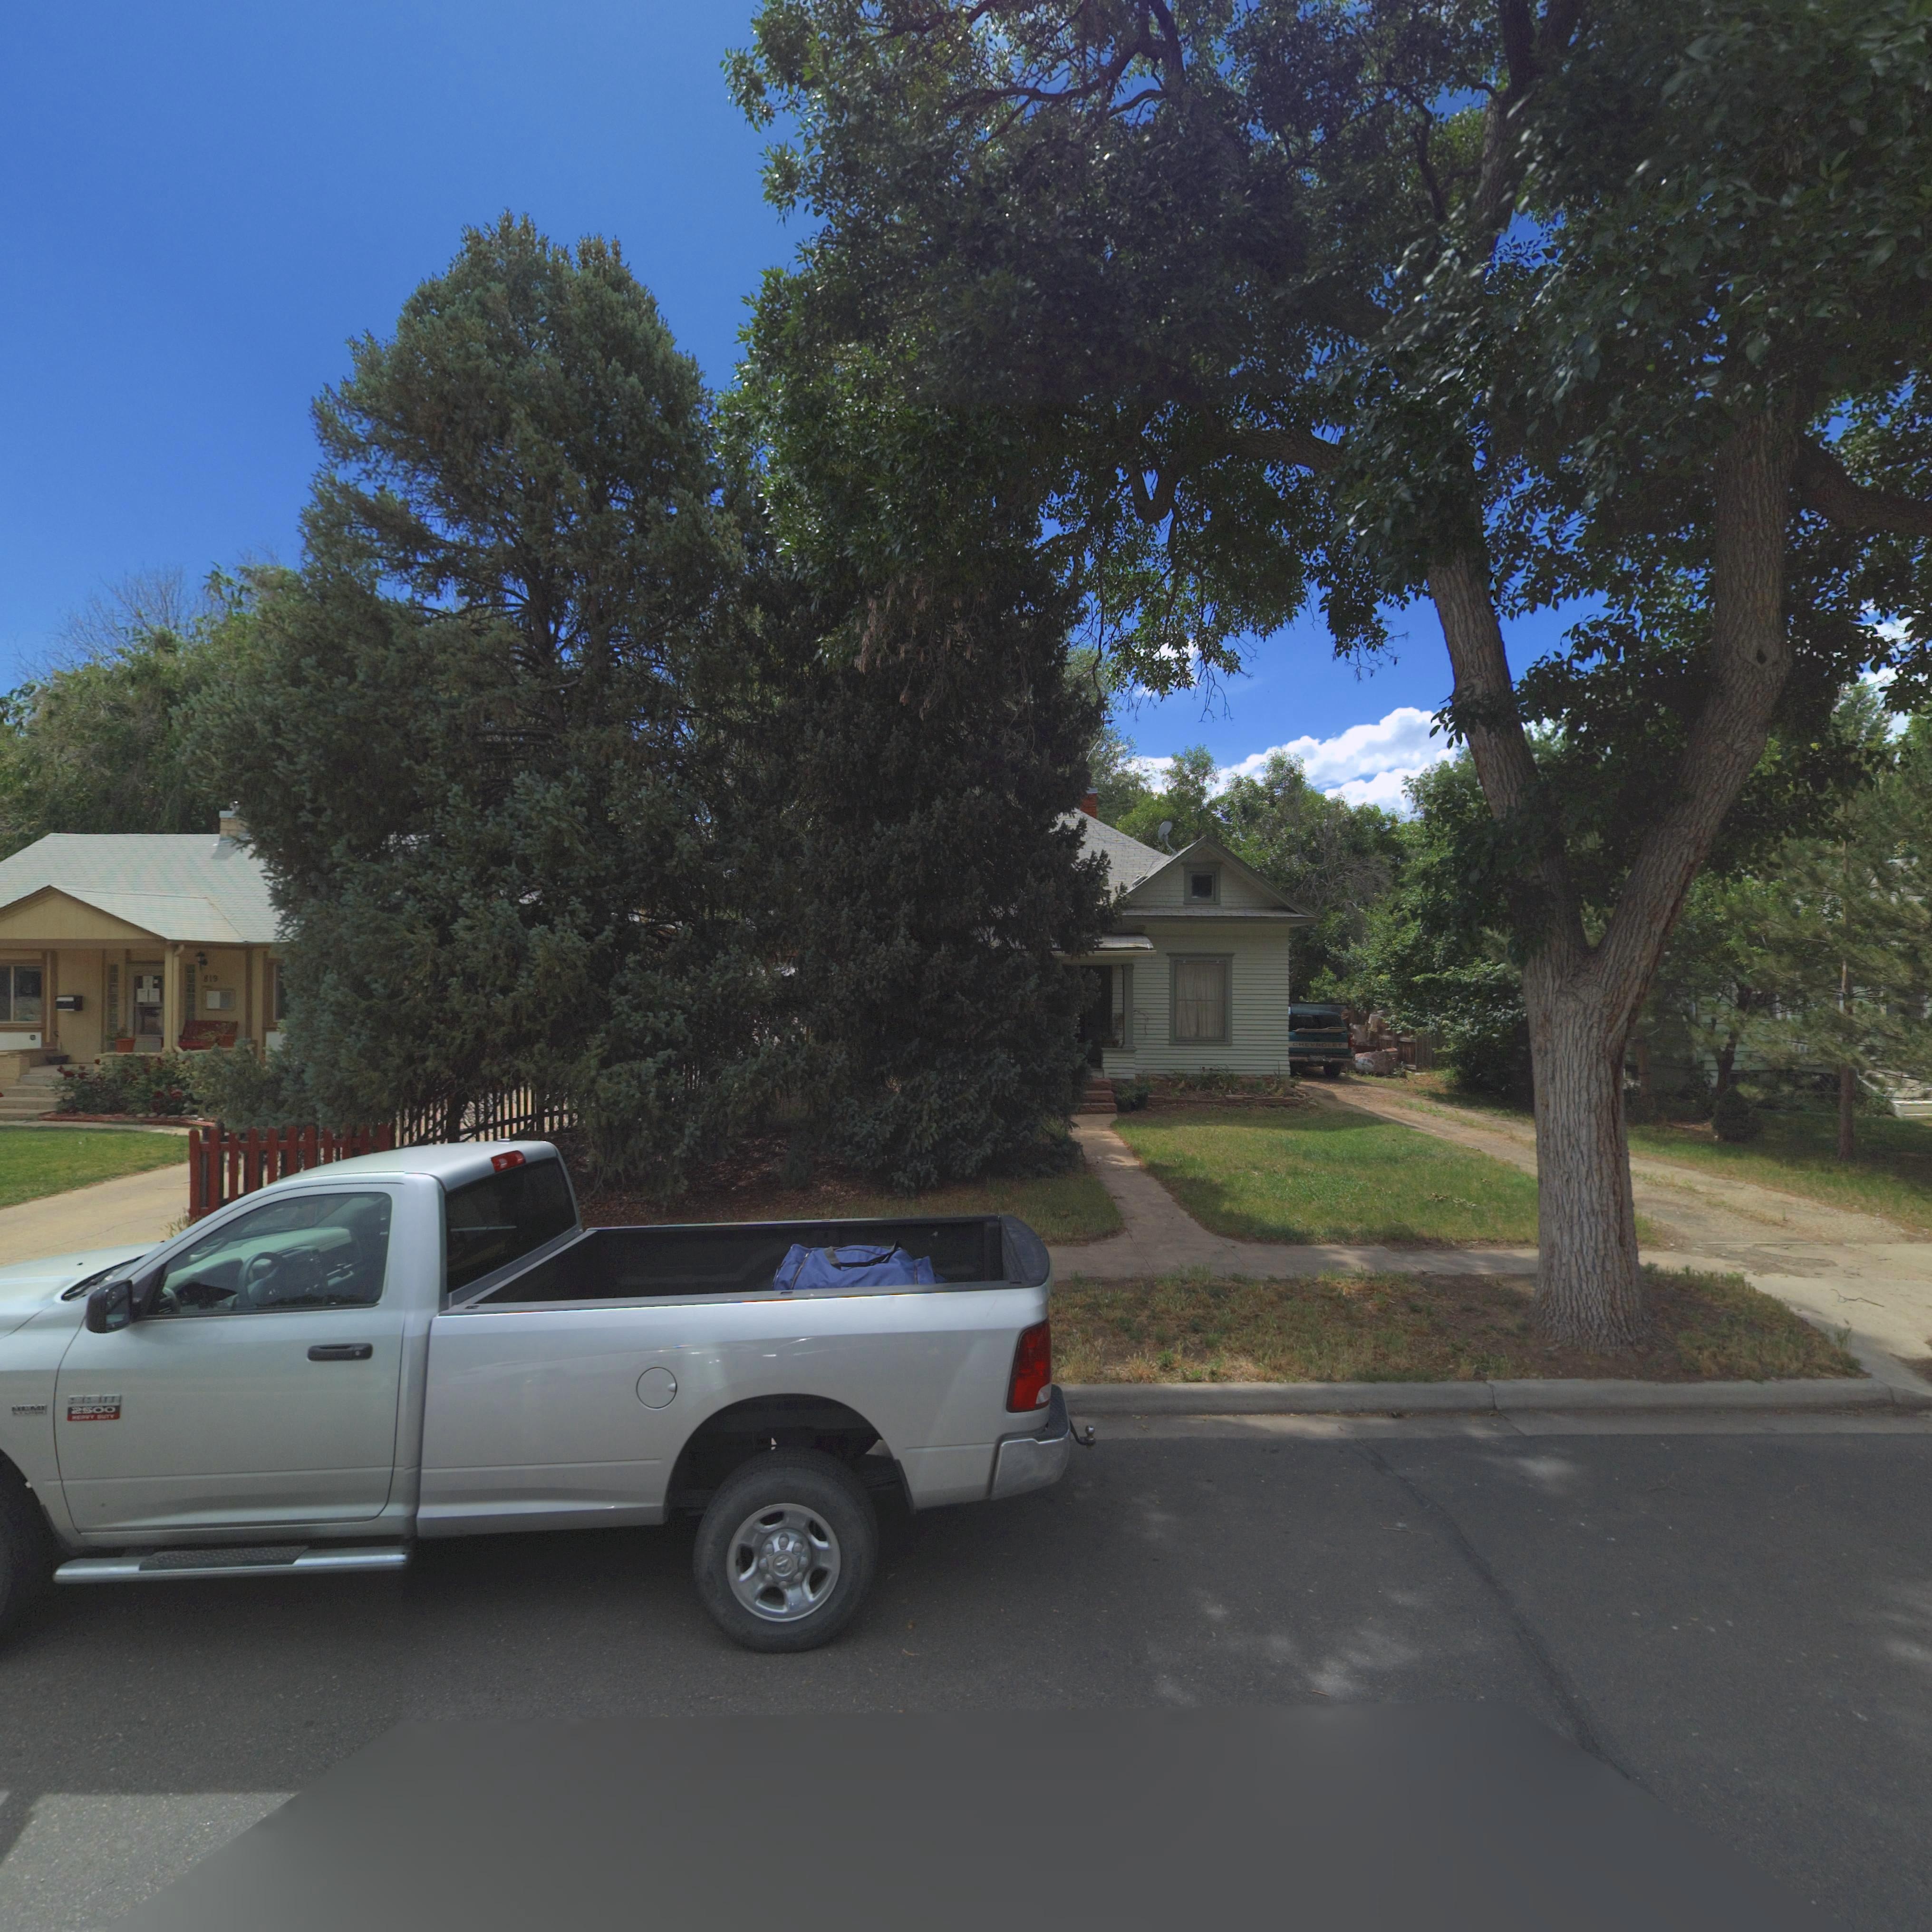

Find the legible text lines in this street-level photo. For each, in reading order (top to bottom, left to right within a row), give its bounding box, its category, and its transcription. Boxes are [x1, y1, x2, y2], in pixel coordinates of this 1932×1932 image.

[203, 974, 217, 982] StreetNumber: 819